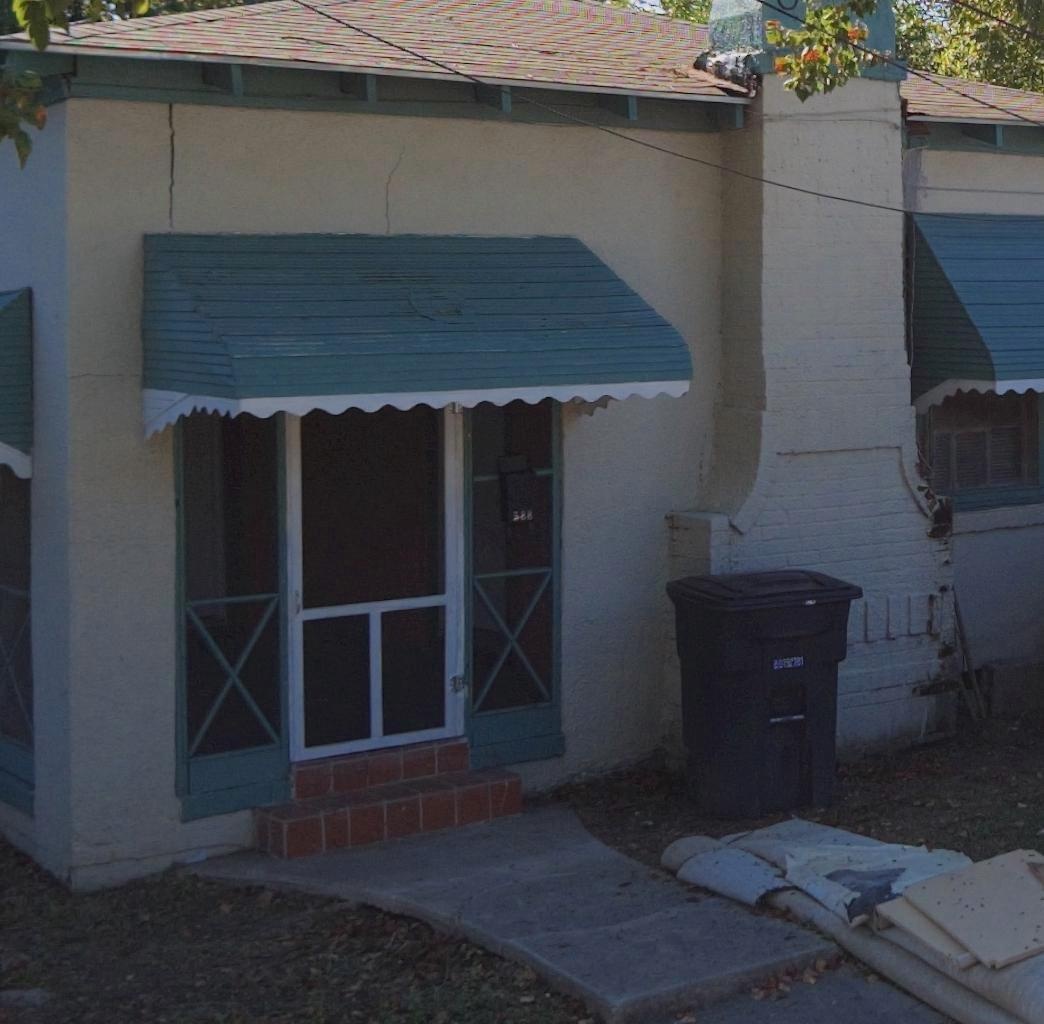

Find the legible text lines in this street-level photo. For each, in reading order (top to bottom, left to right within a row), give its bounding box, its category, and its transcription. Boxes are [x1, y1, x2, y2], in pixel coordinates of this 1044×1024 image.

[512, 508, 534, 523] StreetNumber: 588
[776, 657, 786, 672] None: 0